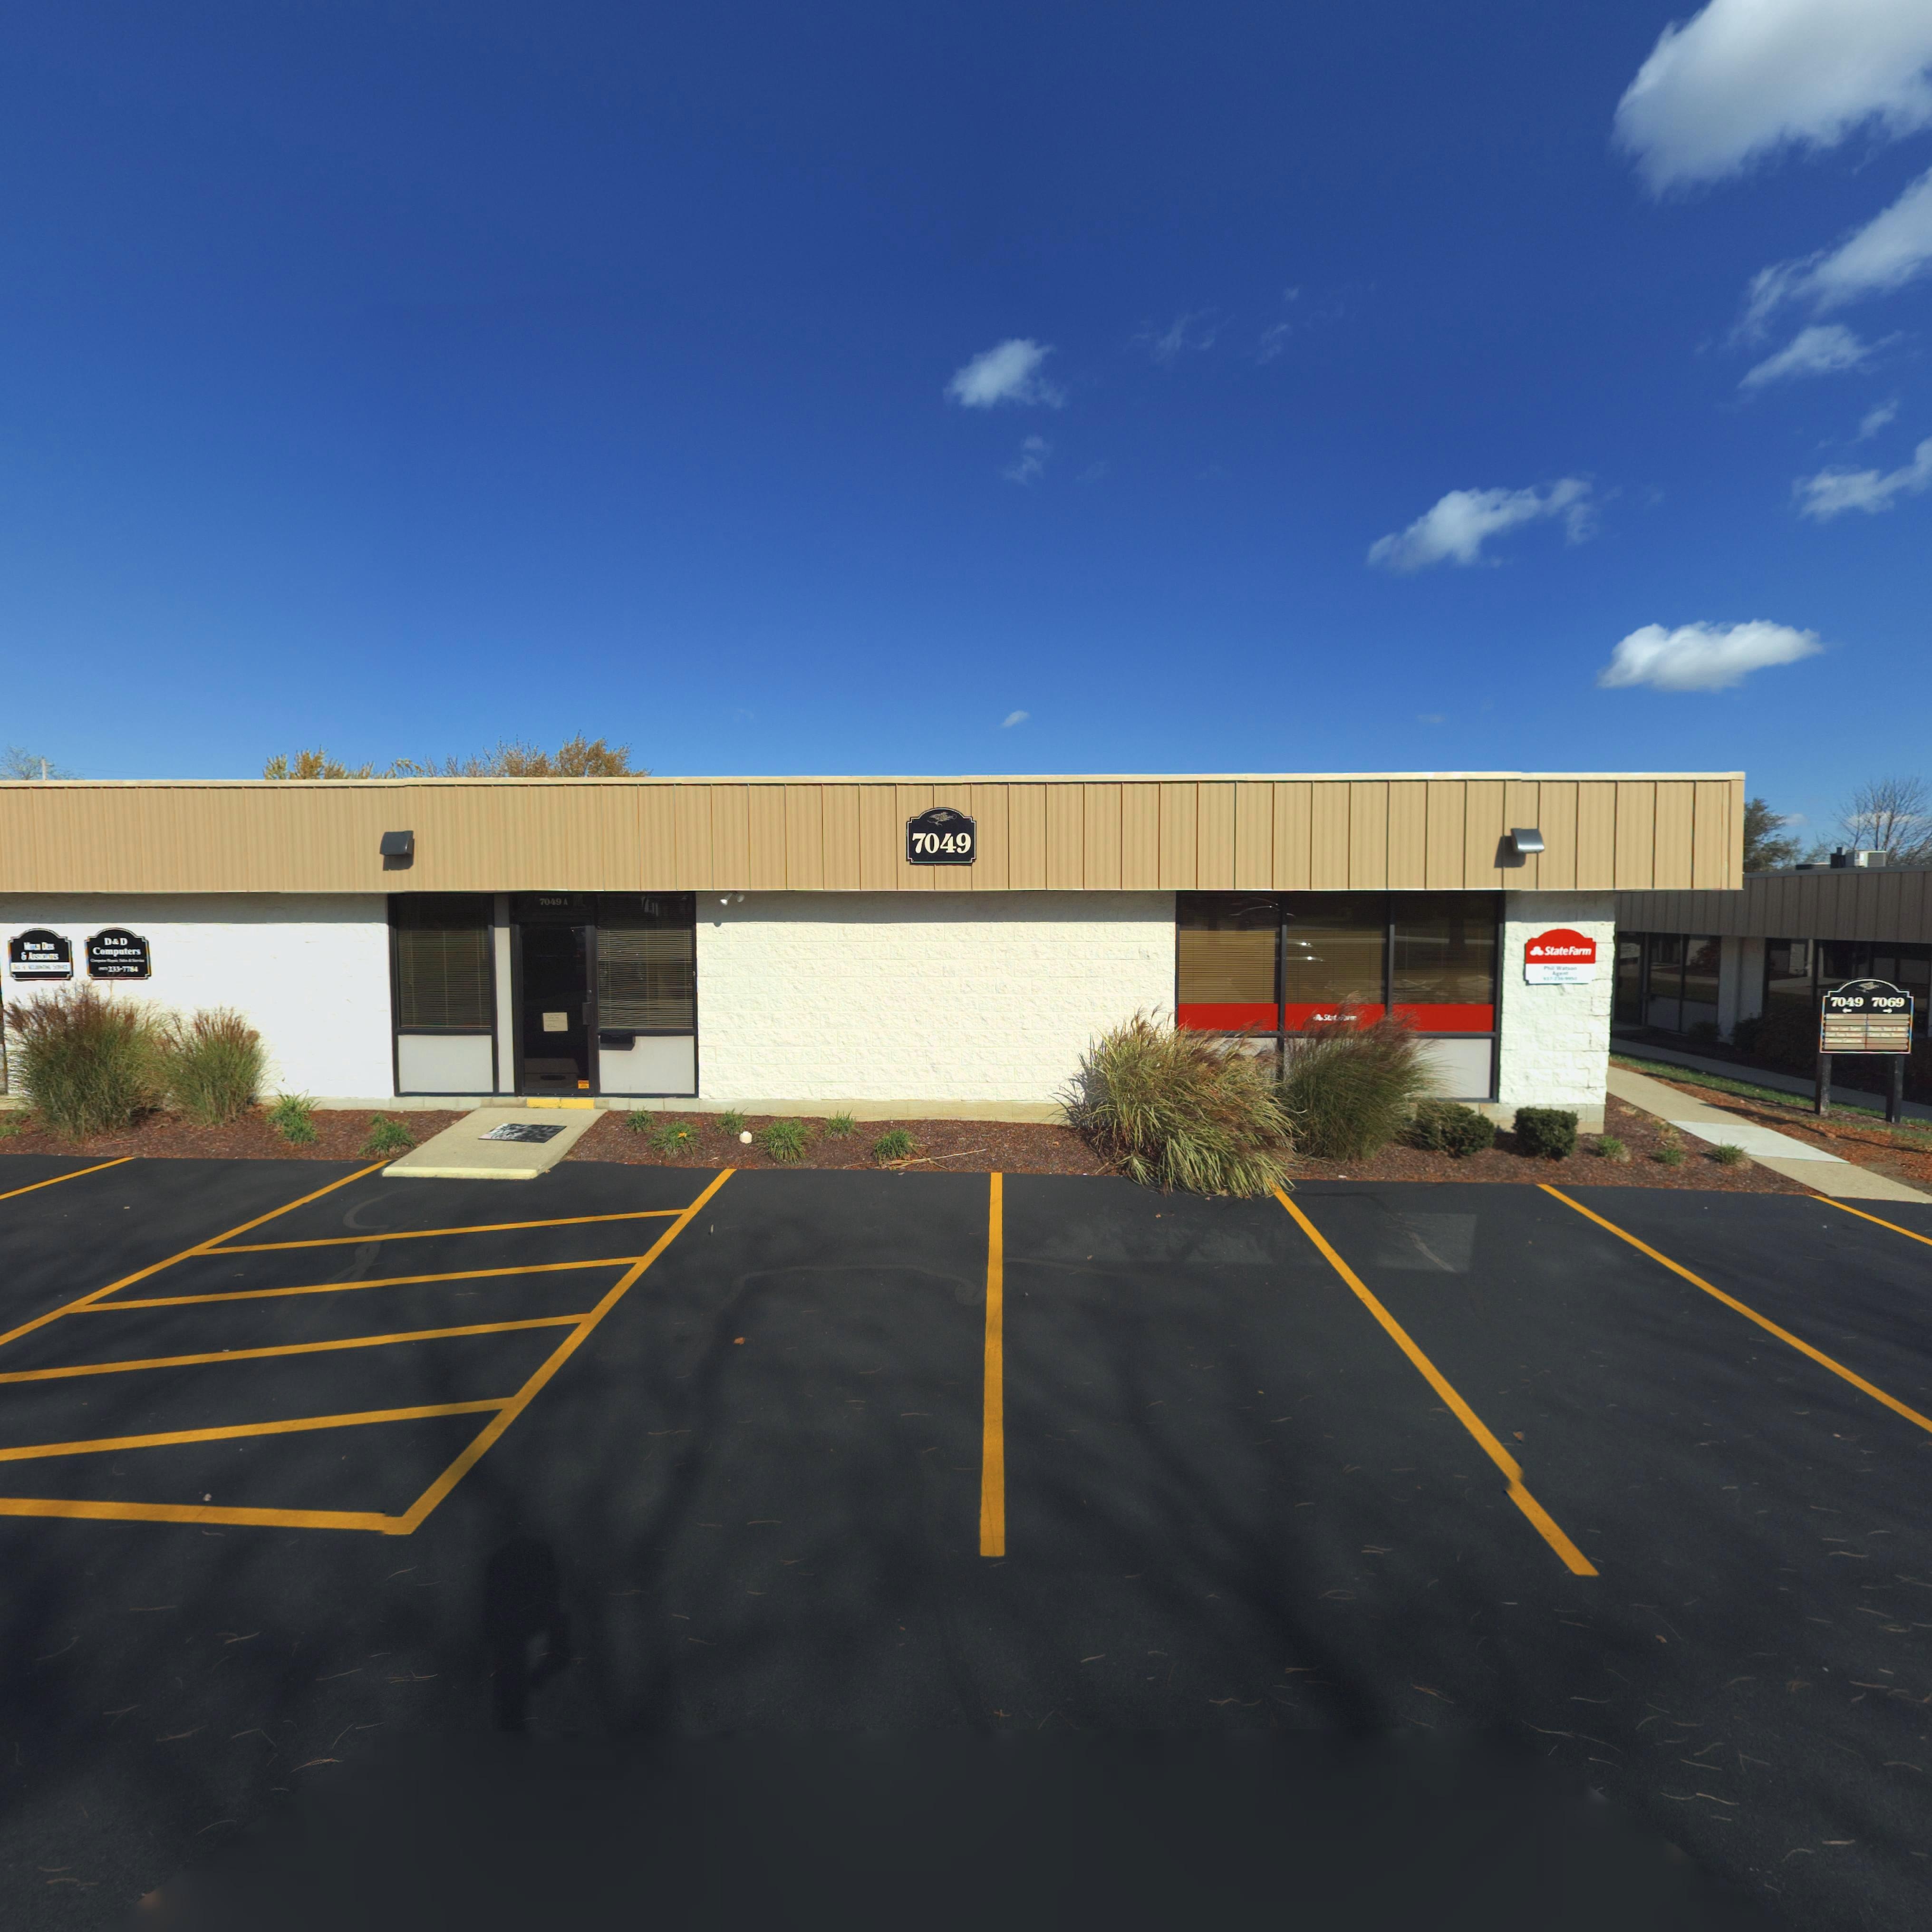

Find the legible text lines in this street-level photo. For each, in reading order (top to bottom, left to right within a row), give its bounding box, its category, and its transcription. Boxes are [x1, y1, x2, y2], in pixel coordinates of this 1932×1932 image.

[910, 831, 974, 856] StreetNumber: 7049
[538, 897, 570, 907] StreetNumber: 7049 A
[1829, 995, 1865, 1008] StreetNumber: 7049
[1870, 995, 1907, 1009] StreetNumber: 7069